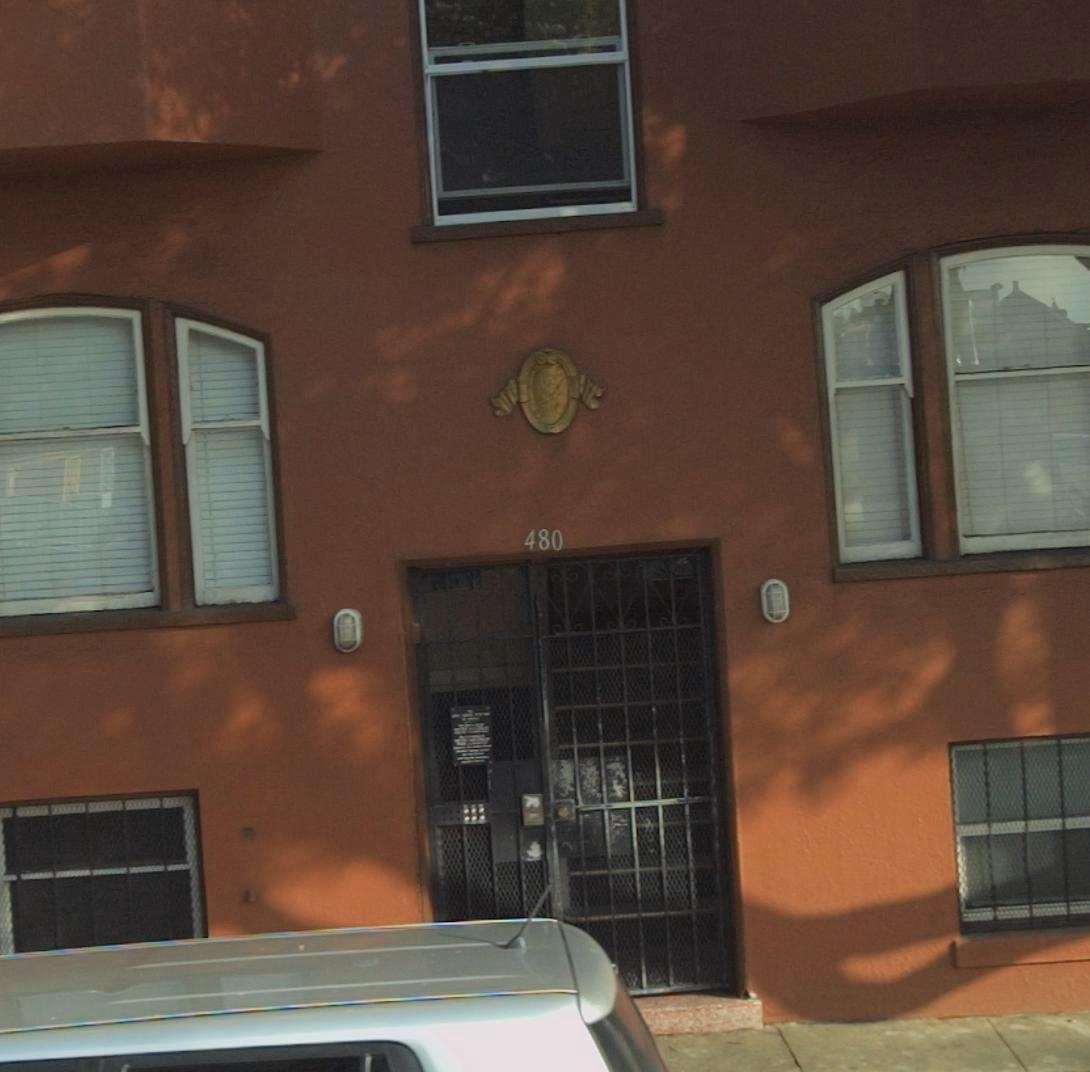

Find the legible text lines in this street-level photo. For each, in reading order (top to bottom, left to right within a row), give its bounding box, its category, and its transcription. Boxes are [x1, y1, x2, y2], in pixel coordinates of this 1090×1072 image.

[521, 526, 566, 554] StreetNumber: 480